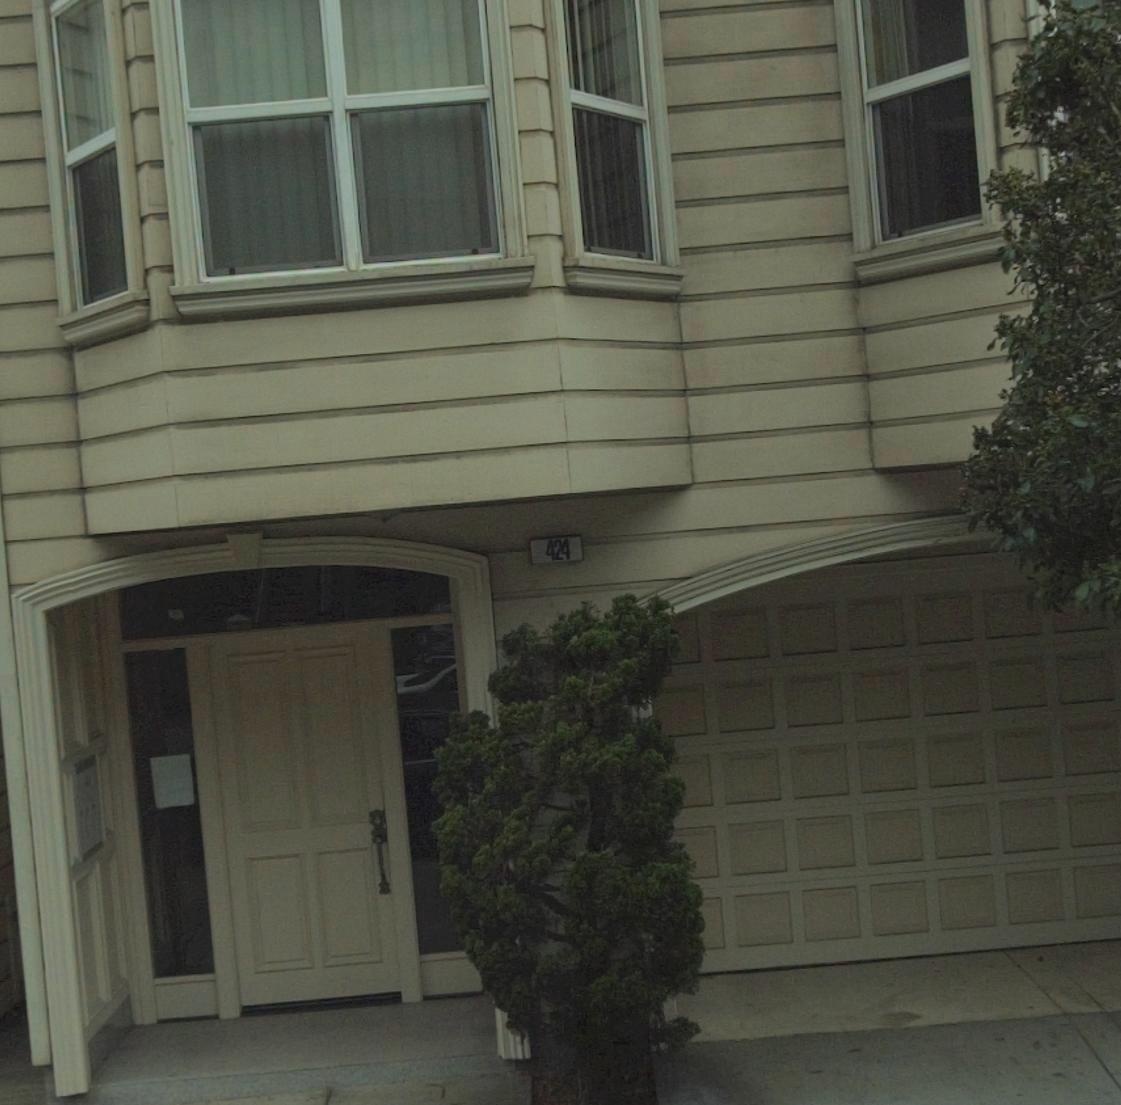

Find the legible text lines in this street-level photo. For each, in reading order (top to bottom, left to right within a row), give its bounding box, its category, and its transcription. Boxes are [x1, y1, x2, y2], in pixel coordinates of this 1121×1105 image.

[544, 536, 572, 563] StreetNumber: 424